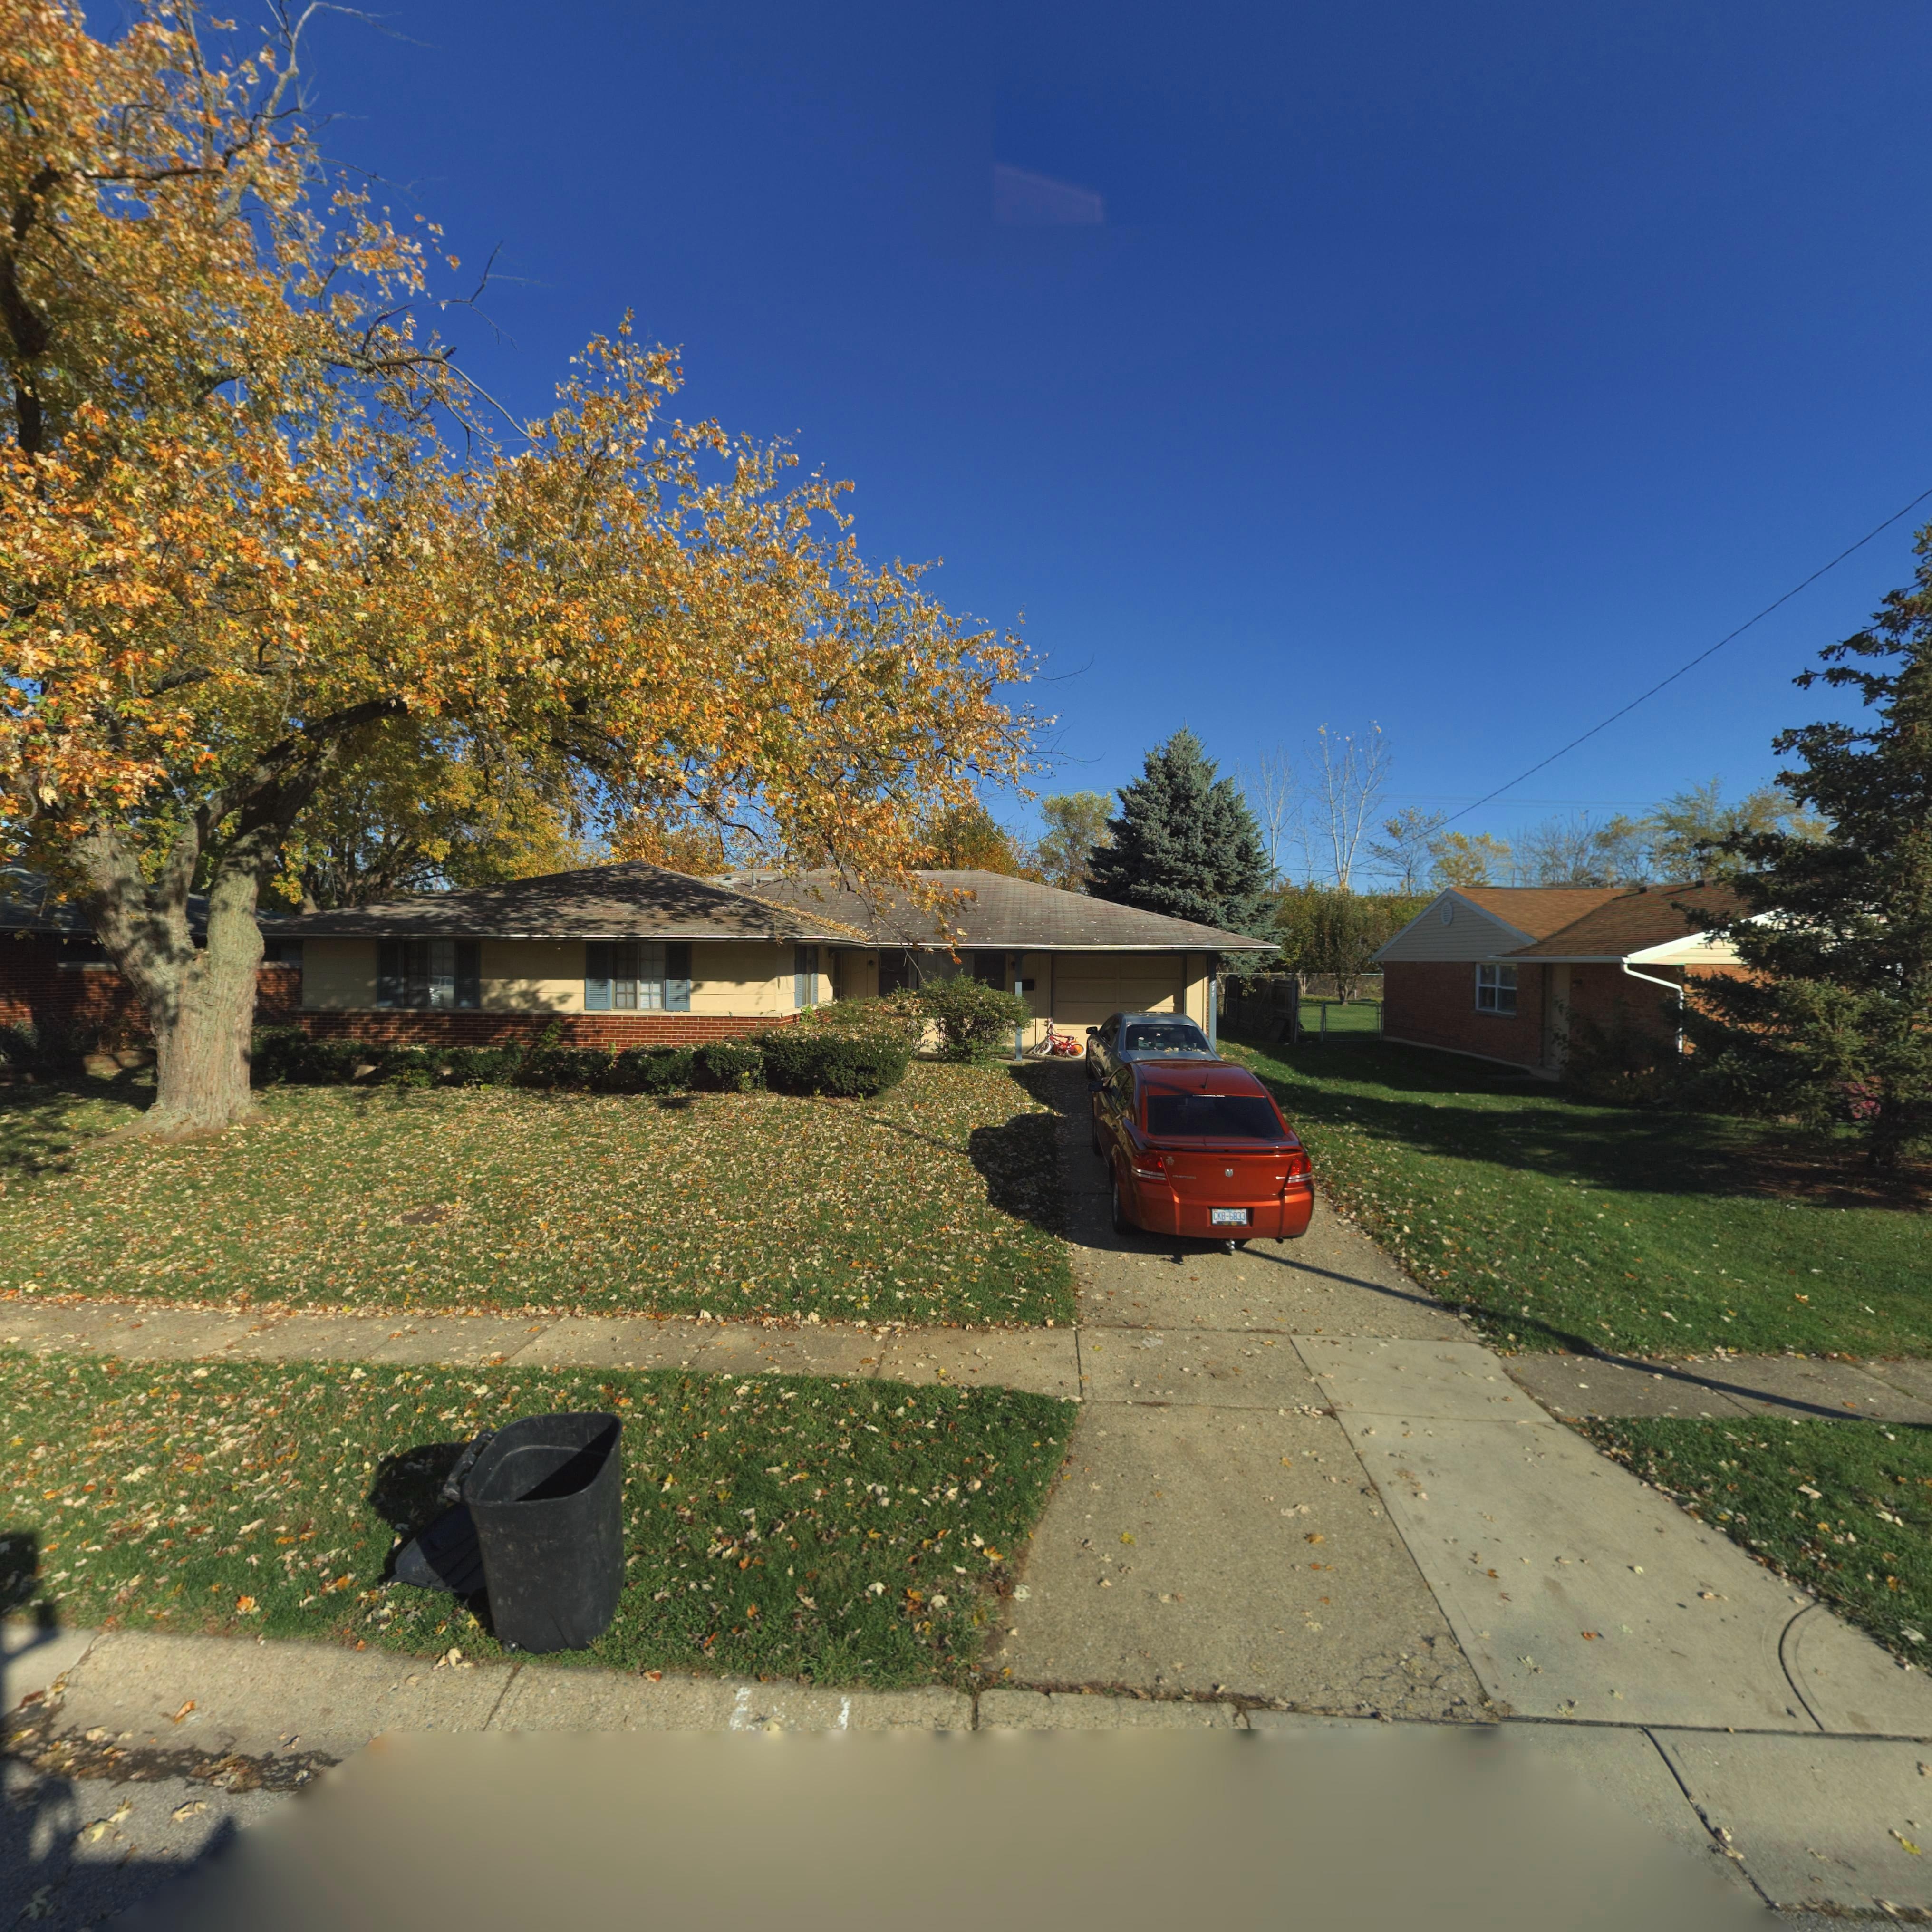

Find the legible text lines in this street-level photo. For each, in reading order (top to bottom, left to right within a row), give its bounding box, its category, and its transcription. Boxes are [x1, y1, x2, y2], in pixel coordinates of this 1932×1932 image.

[1210, 973, 1216, 998] StreetNumber: 7*77